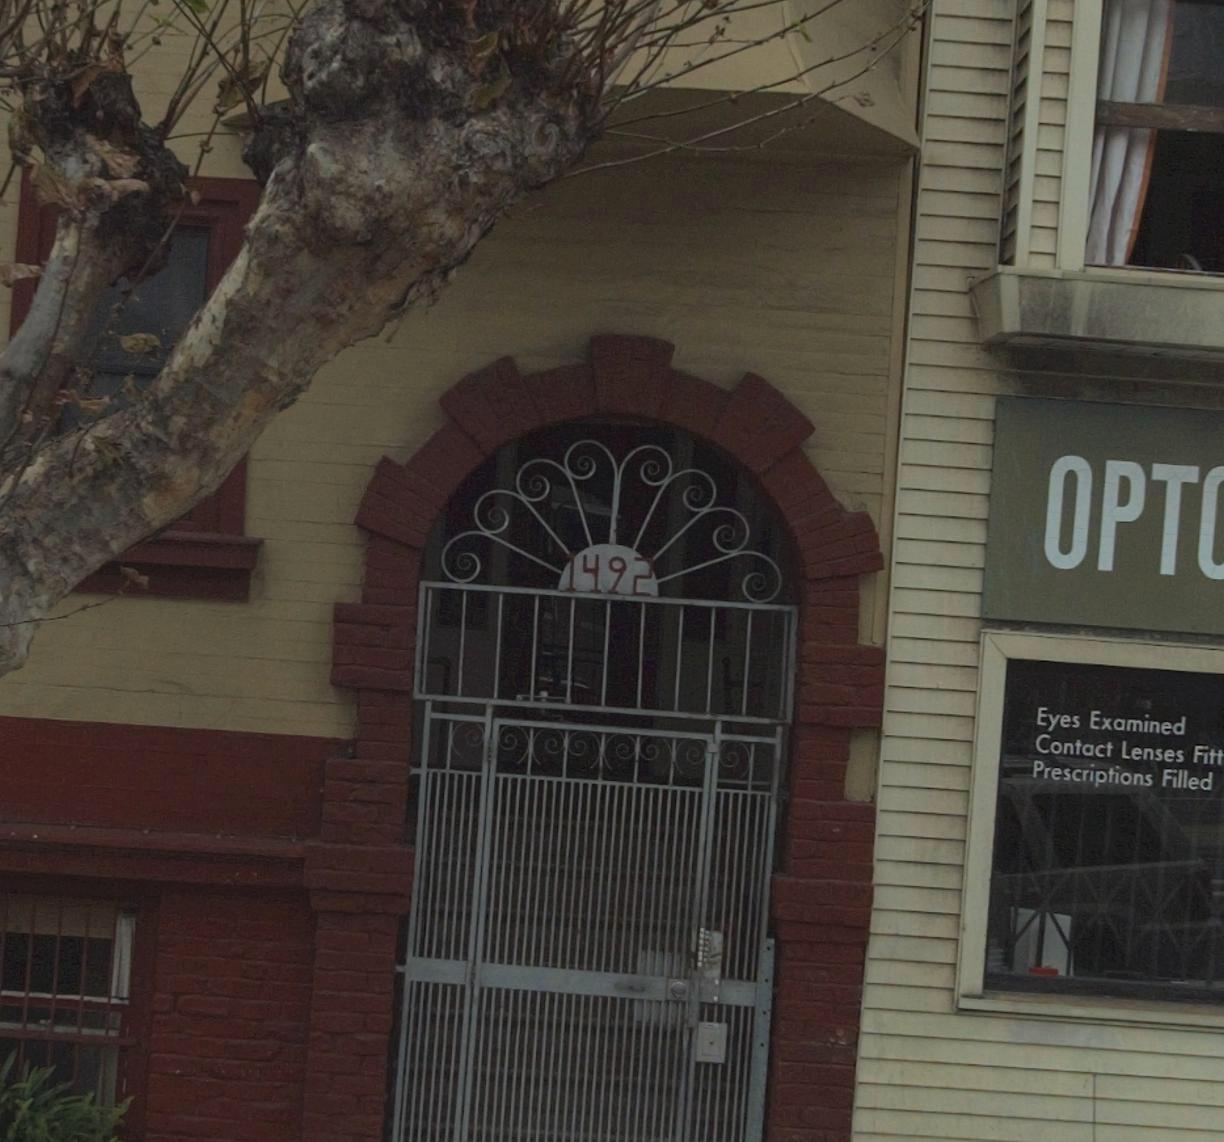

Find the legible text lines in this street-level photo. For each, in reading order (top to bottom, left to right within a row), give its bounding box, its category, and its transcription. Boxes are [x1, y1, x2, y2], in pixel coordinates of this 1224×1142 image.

[1041, 453, 1202, 577] None: OPT
[563, 551, 656, 597] StreetNumber: 1492
[1036, 704, 1188, 737] None: Eyes Examined
[1032, 731, 1218, 765] None: Contact Lenses Fit
[1030, 758, 1215, 793] None: Prescriptions Filled